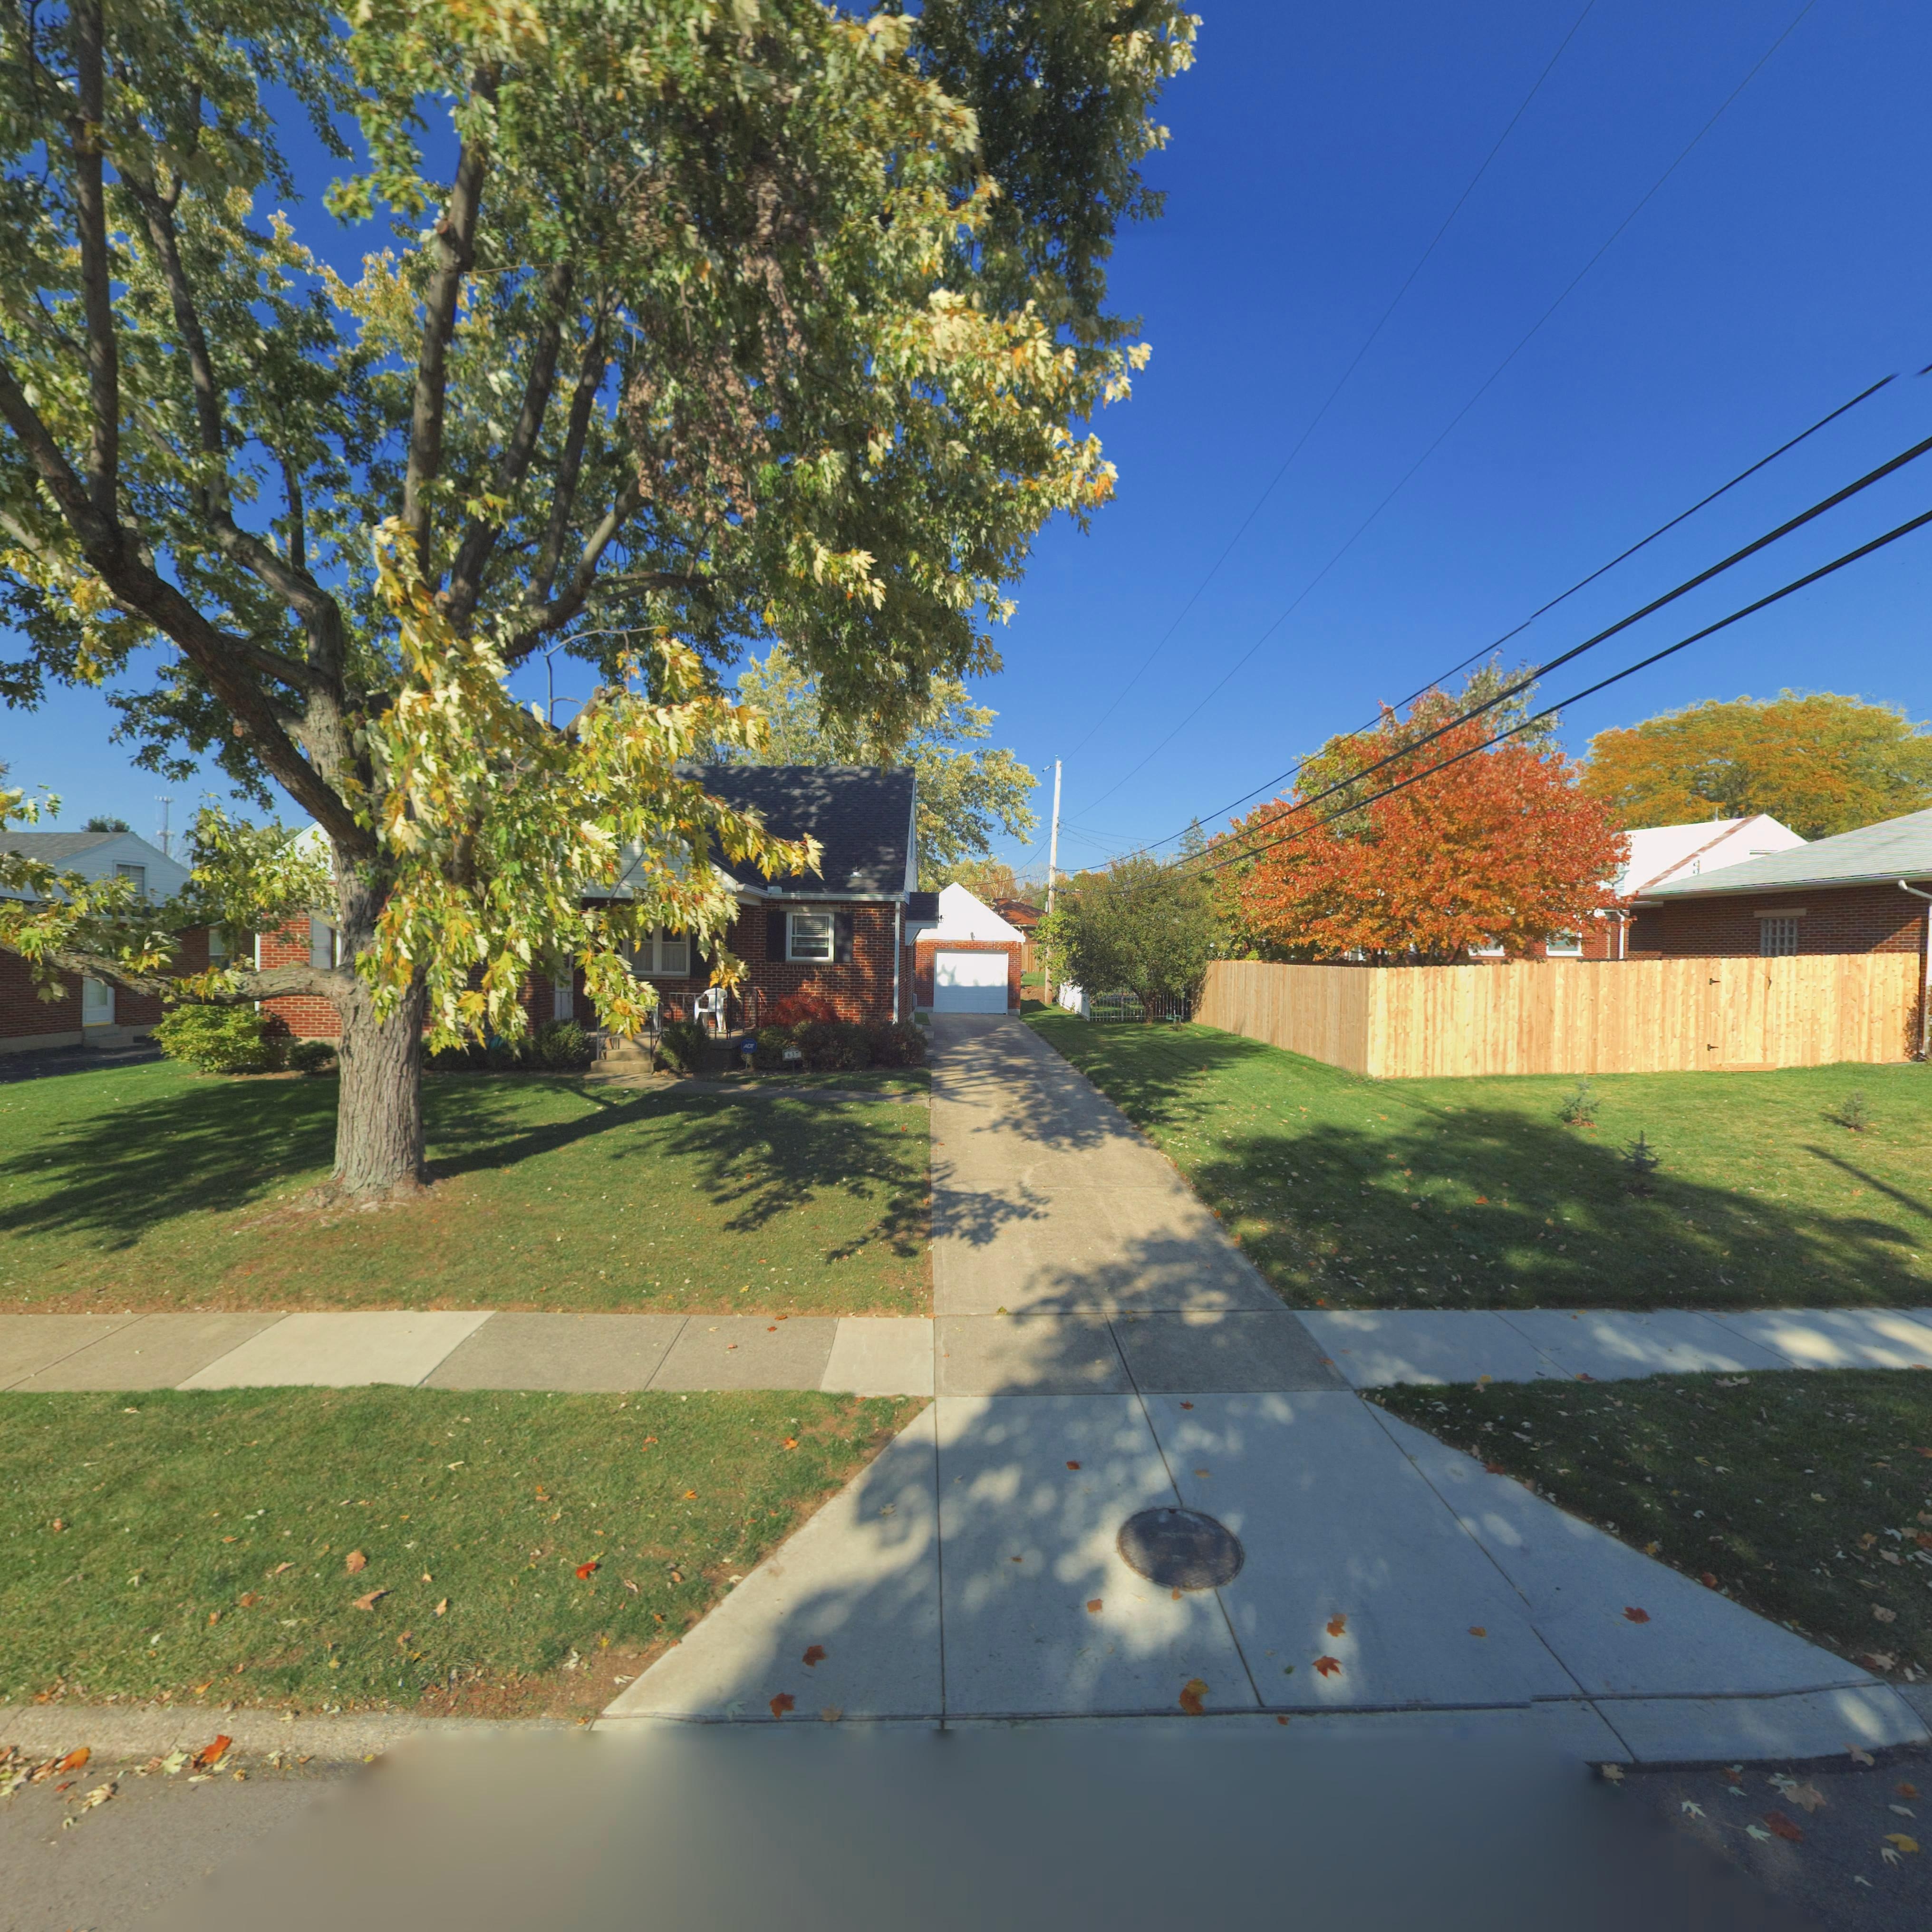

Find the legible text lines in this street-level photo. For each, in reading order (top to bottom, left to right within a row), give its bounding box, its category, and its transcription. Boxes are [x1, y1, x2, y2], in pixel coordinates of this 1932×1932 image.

[743, 1043, 755, 1049] None: ADT
[787, 1052, 799, 1058] StreetNumber: 637